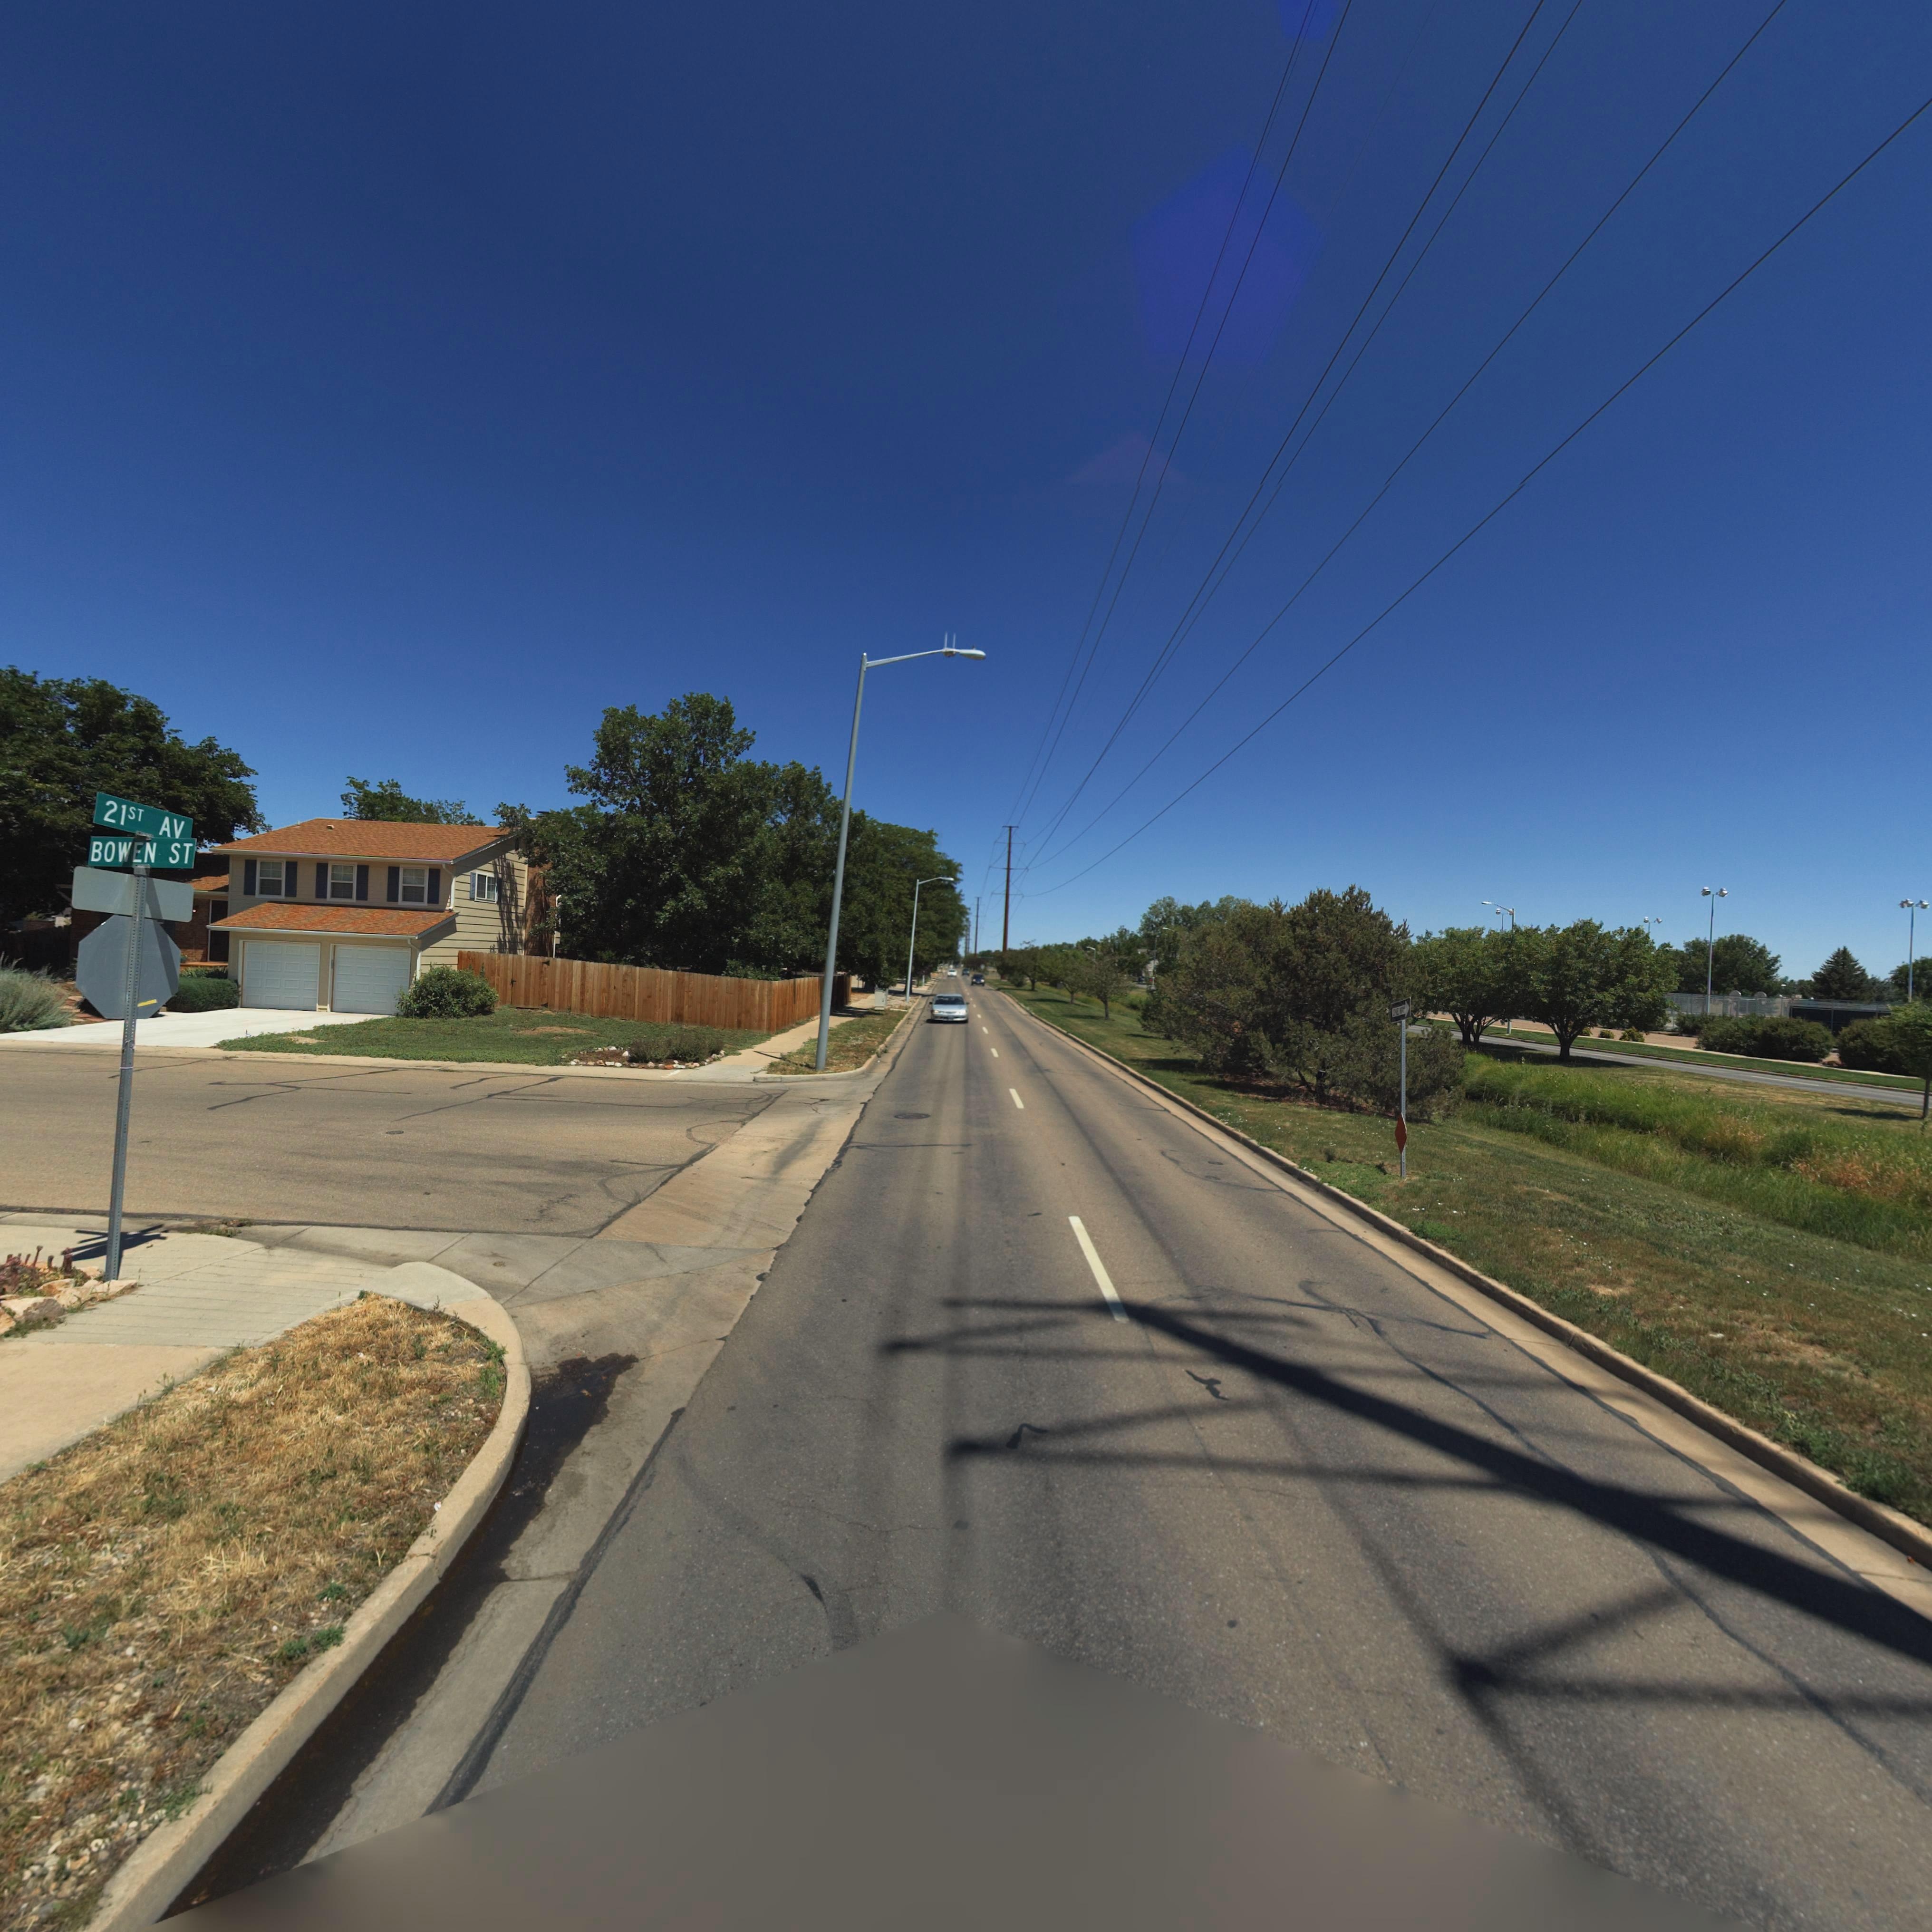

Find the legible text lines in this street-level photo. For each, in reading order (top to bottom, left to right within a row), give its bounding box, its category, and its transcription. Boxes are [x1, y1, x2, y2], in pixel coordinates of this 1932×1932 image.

[98, 794, 189, 840] StreetName: 21ST AV
[89, 838, 194, 866] StreetName: BOWEN ST